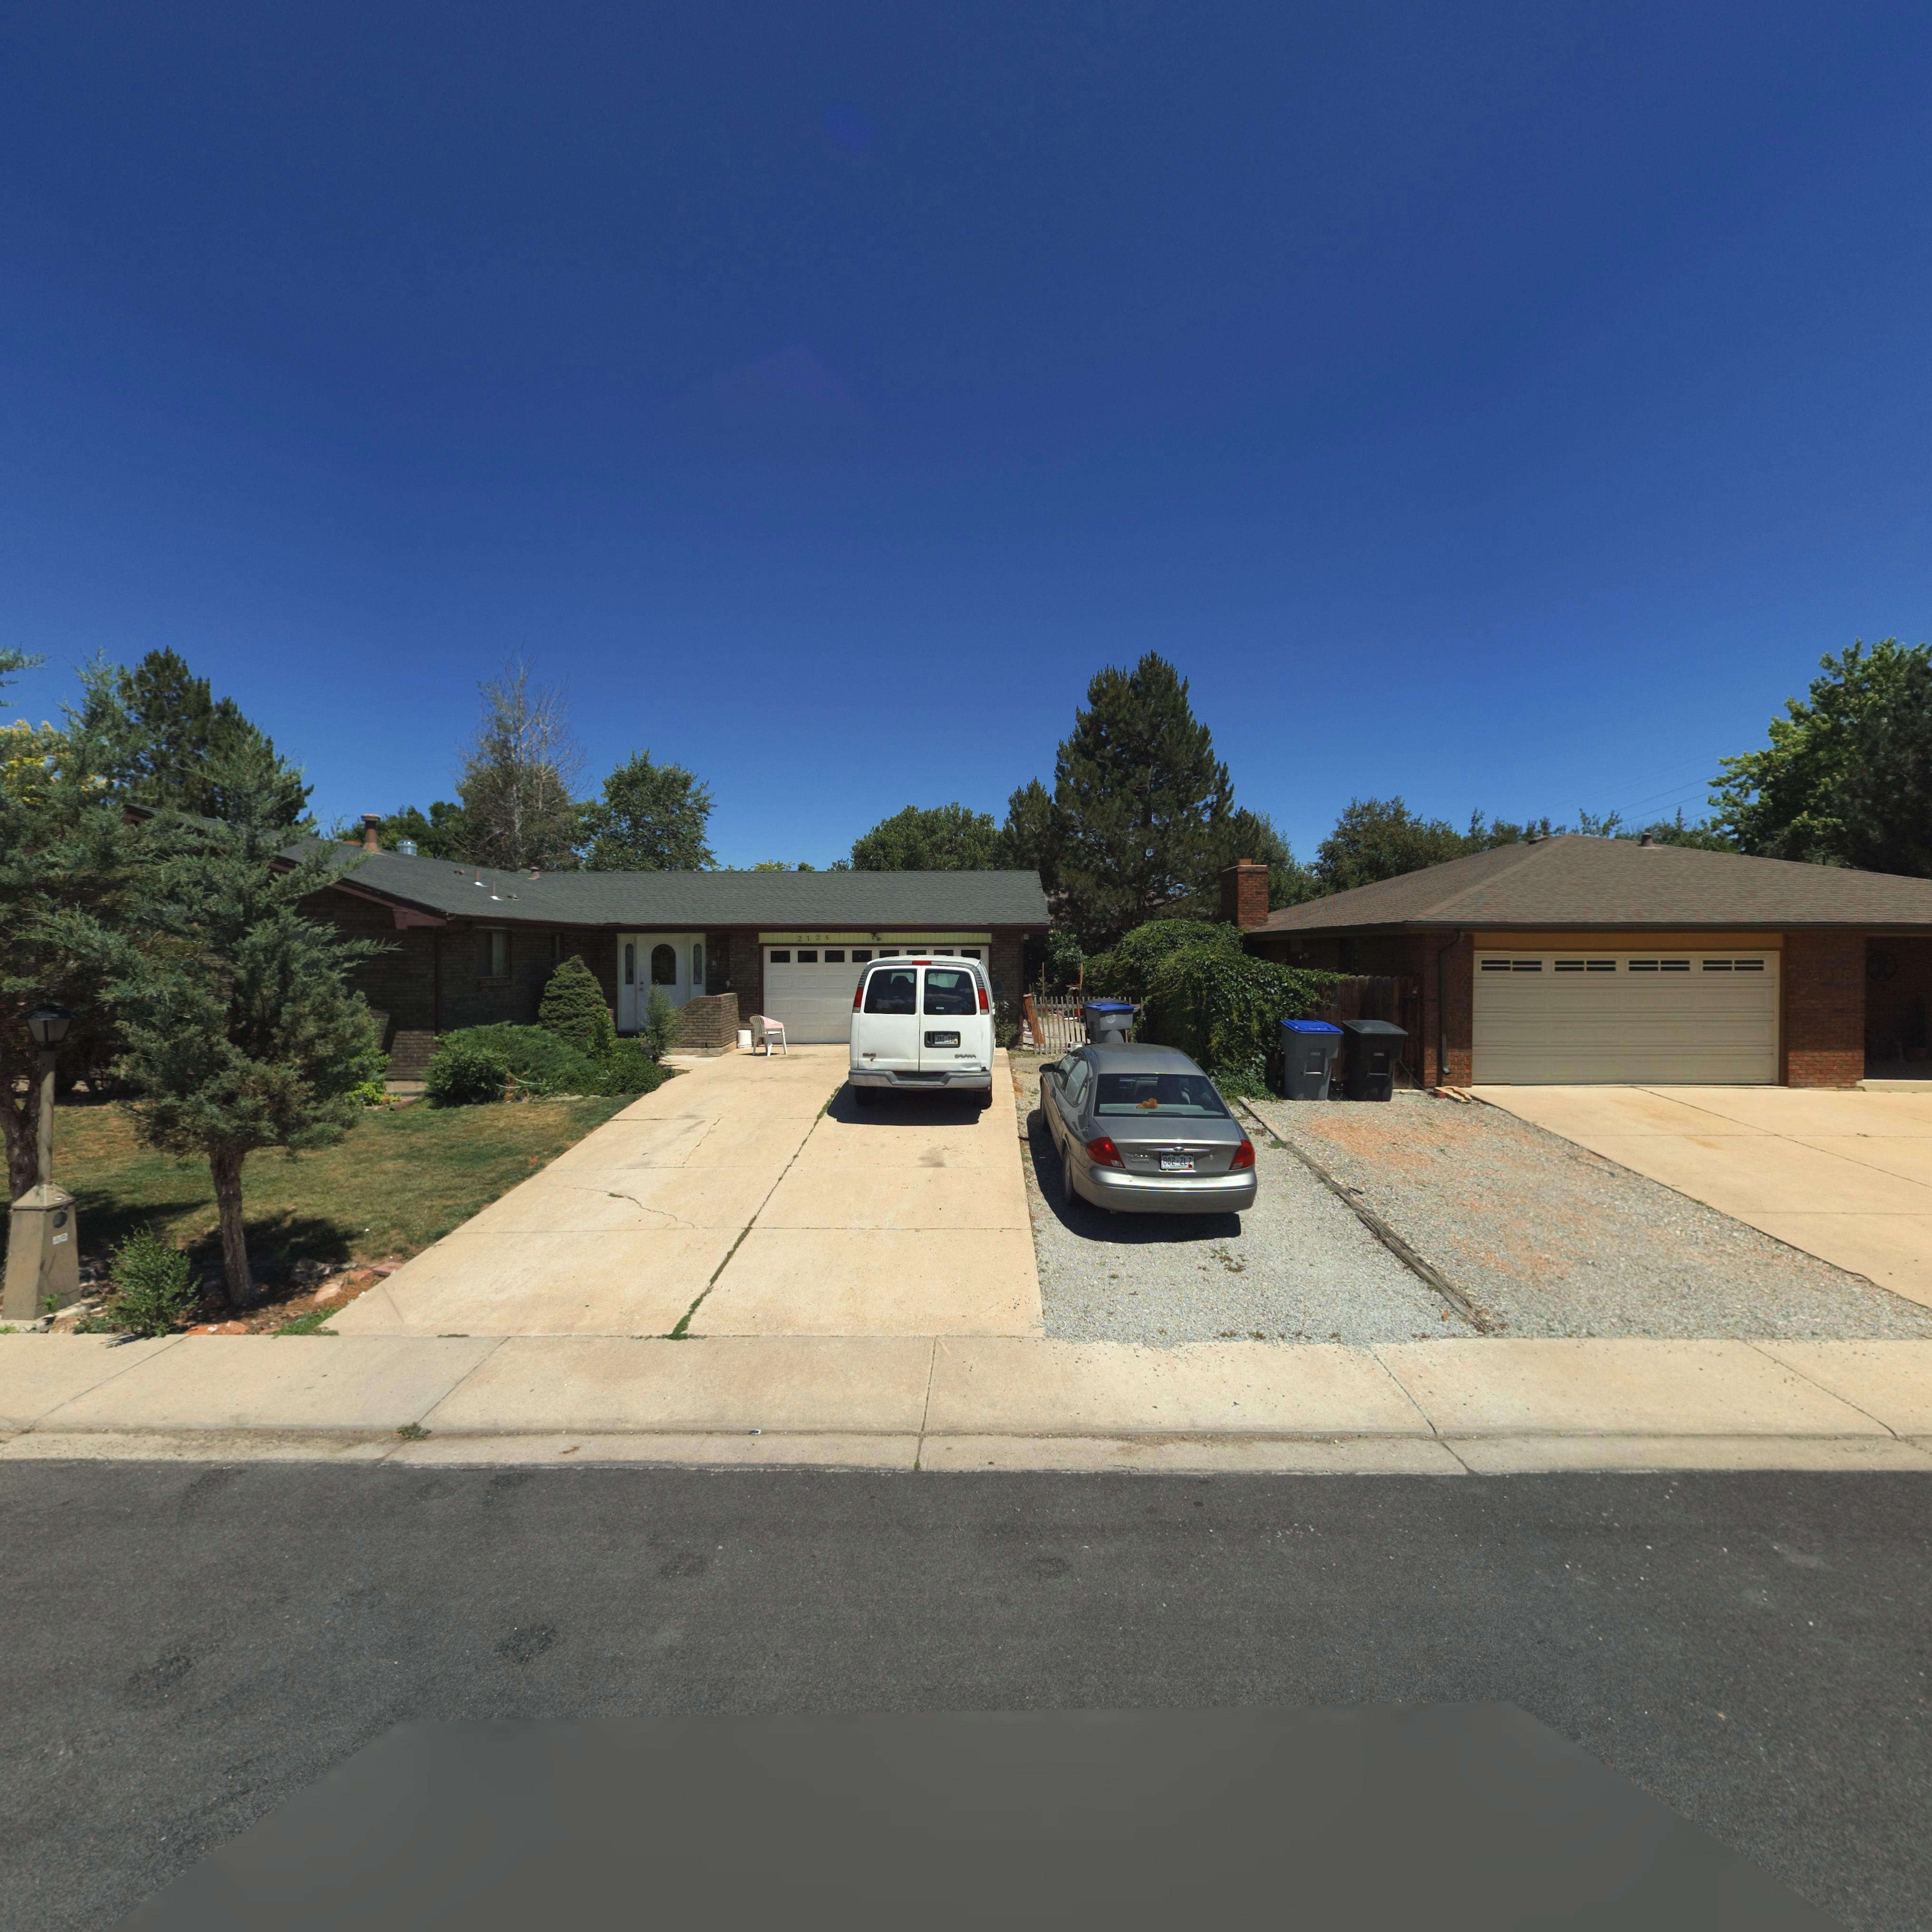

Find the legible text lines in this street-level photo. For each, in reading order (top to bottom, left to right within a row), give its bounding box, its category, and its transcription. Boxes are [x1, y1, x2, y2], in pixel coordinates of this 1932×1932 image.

[797, 934, 830, 942] StreetNumber: 2126
[1804, 968, 1853, 982] StreetNumber: 2118